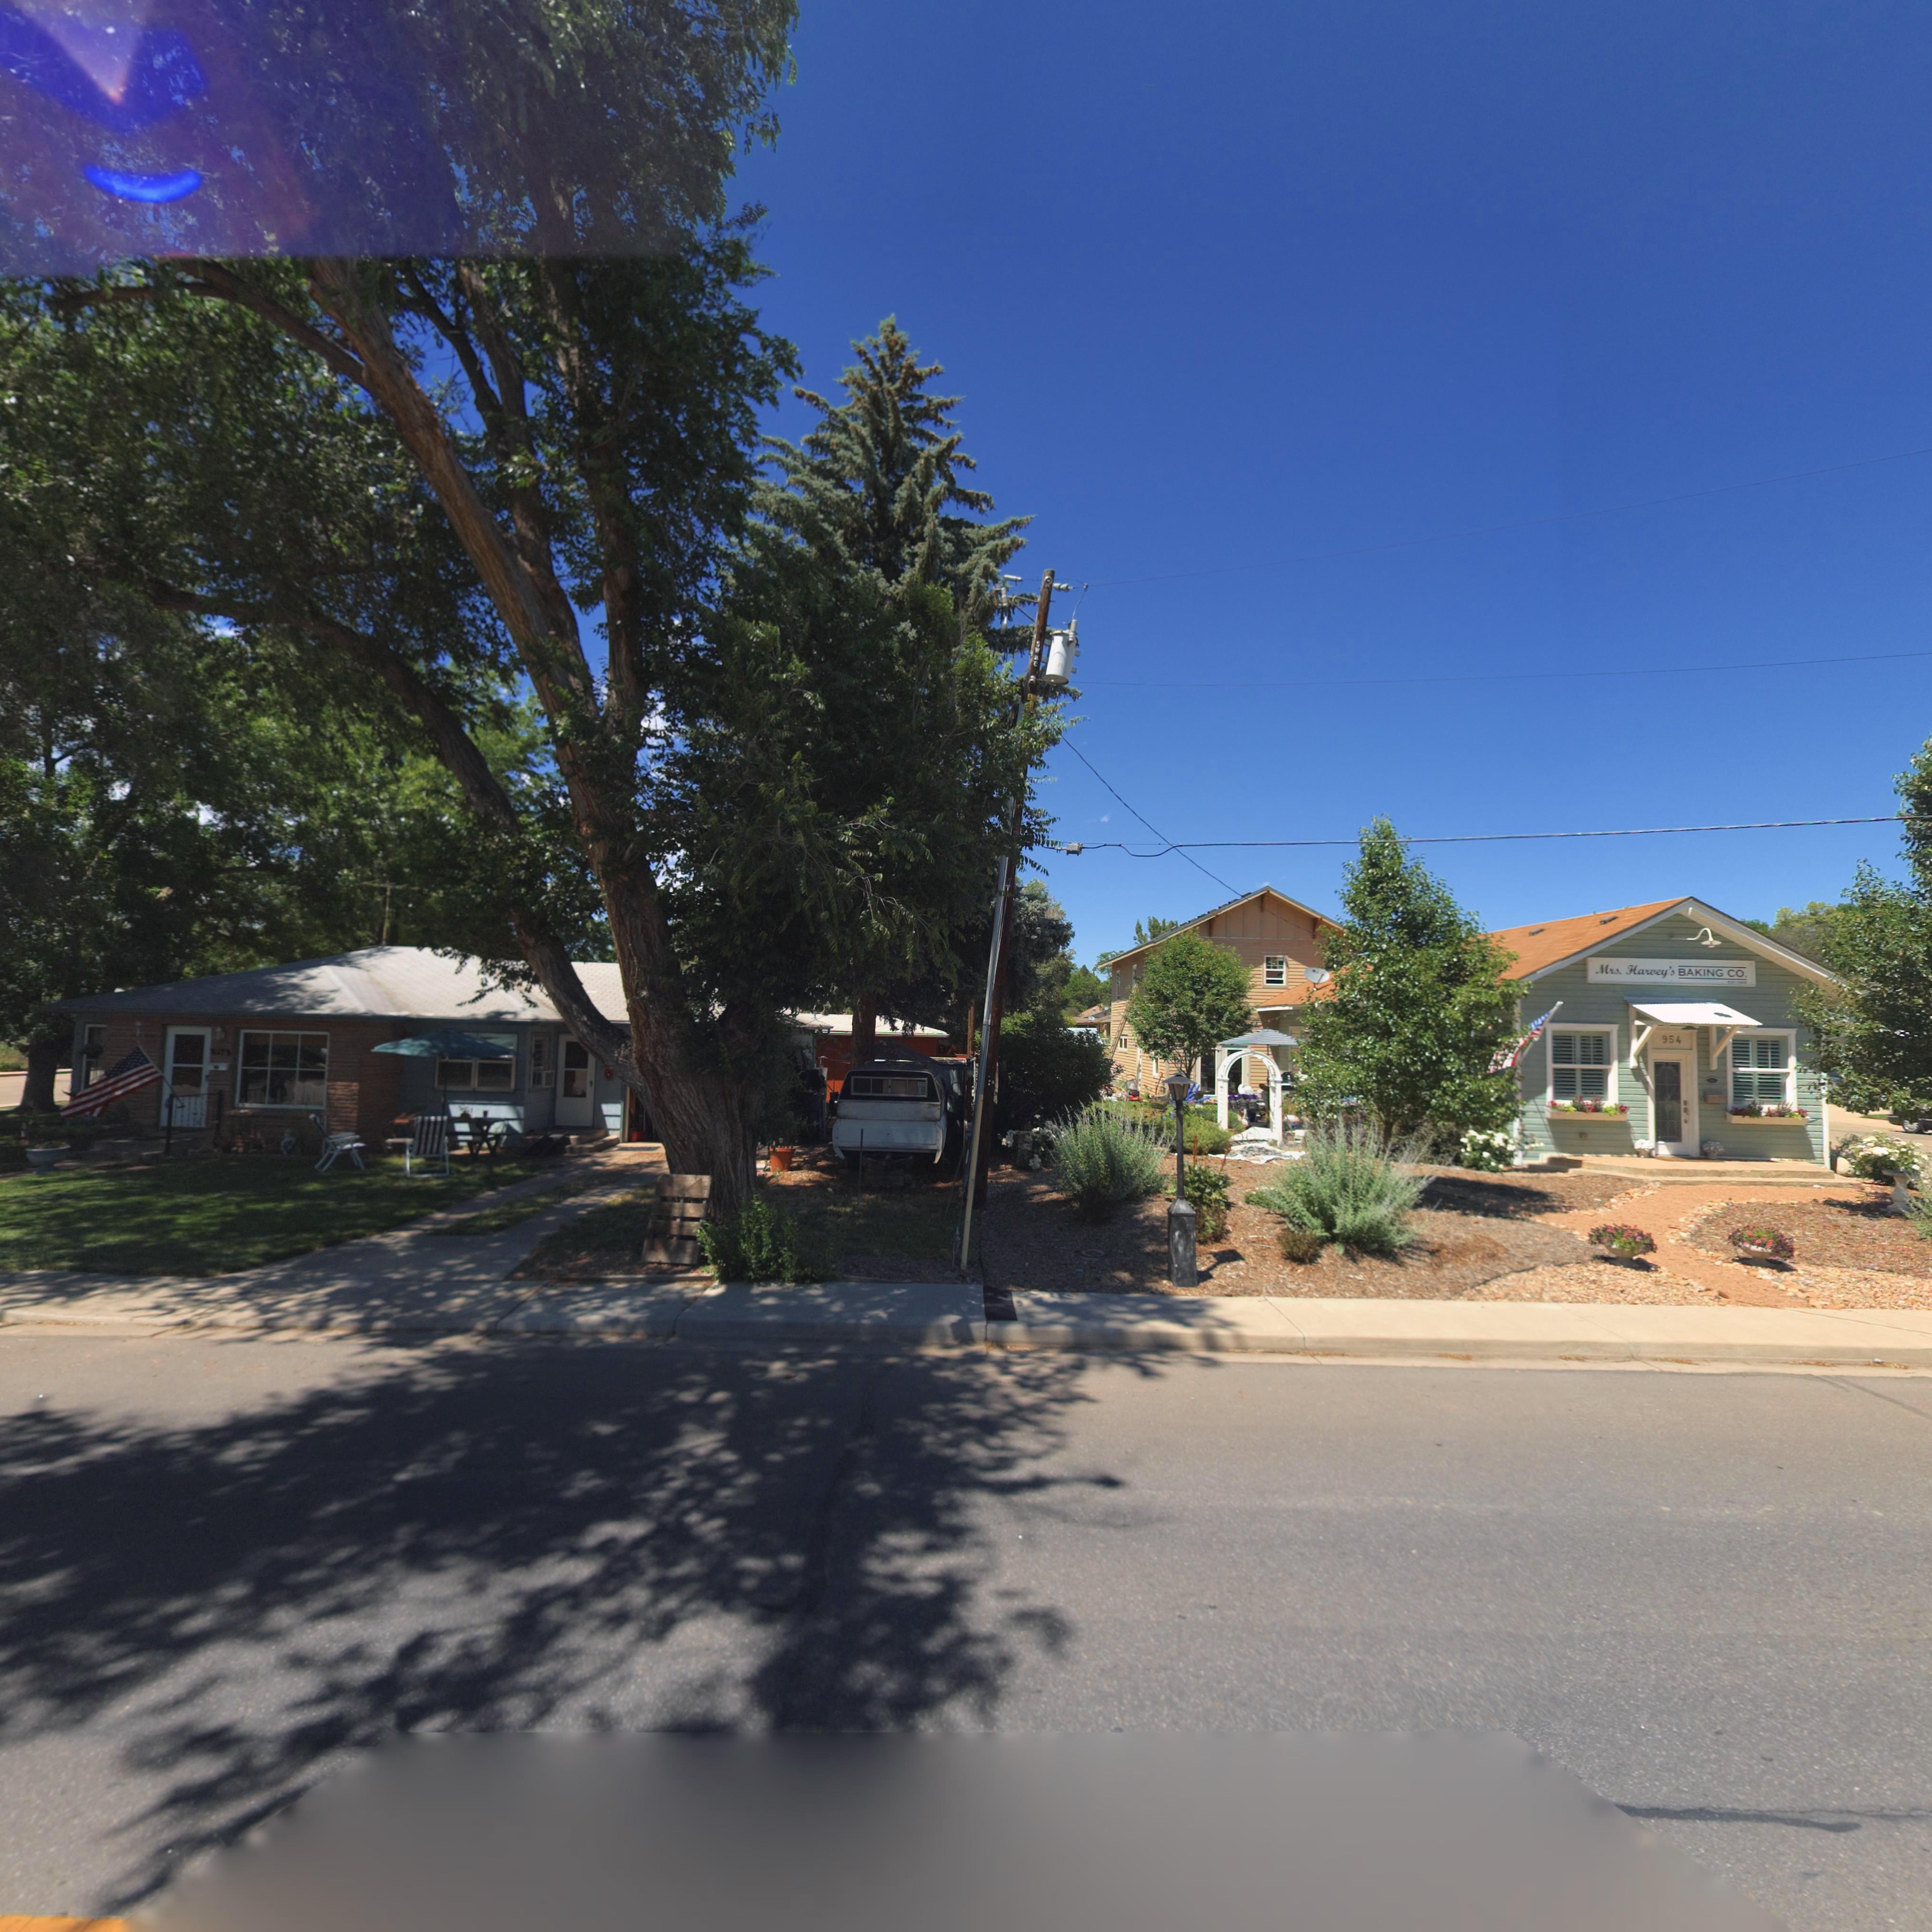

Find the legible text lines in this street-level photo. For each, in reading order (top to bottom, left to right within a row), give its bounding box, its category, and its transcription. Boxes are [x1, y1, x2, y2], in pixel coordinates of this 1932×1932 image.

[1594, 963, 1747, 978] BusinessName: Mrs. Harvey's BAKING CO.
[1662, 1035, 1681, 1044] StreetNumber: 954
[213, 1049, 228, 1055] StreetNumber: *56